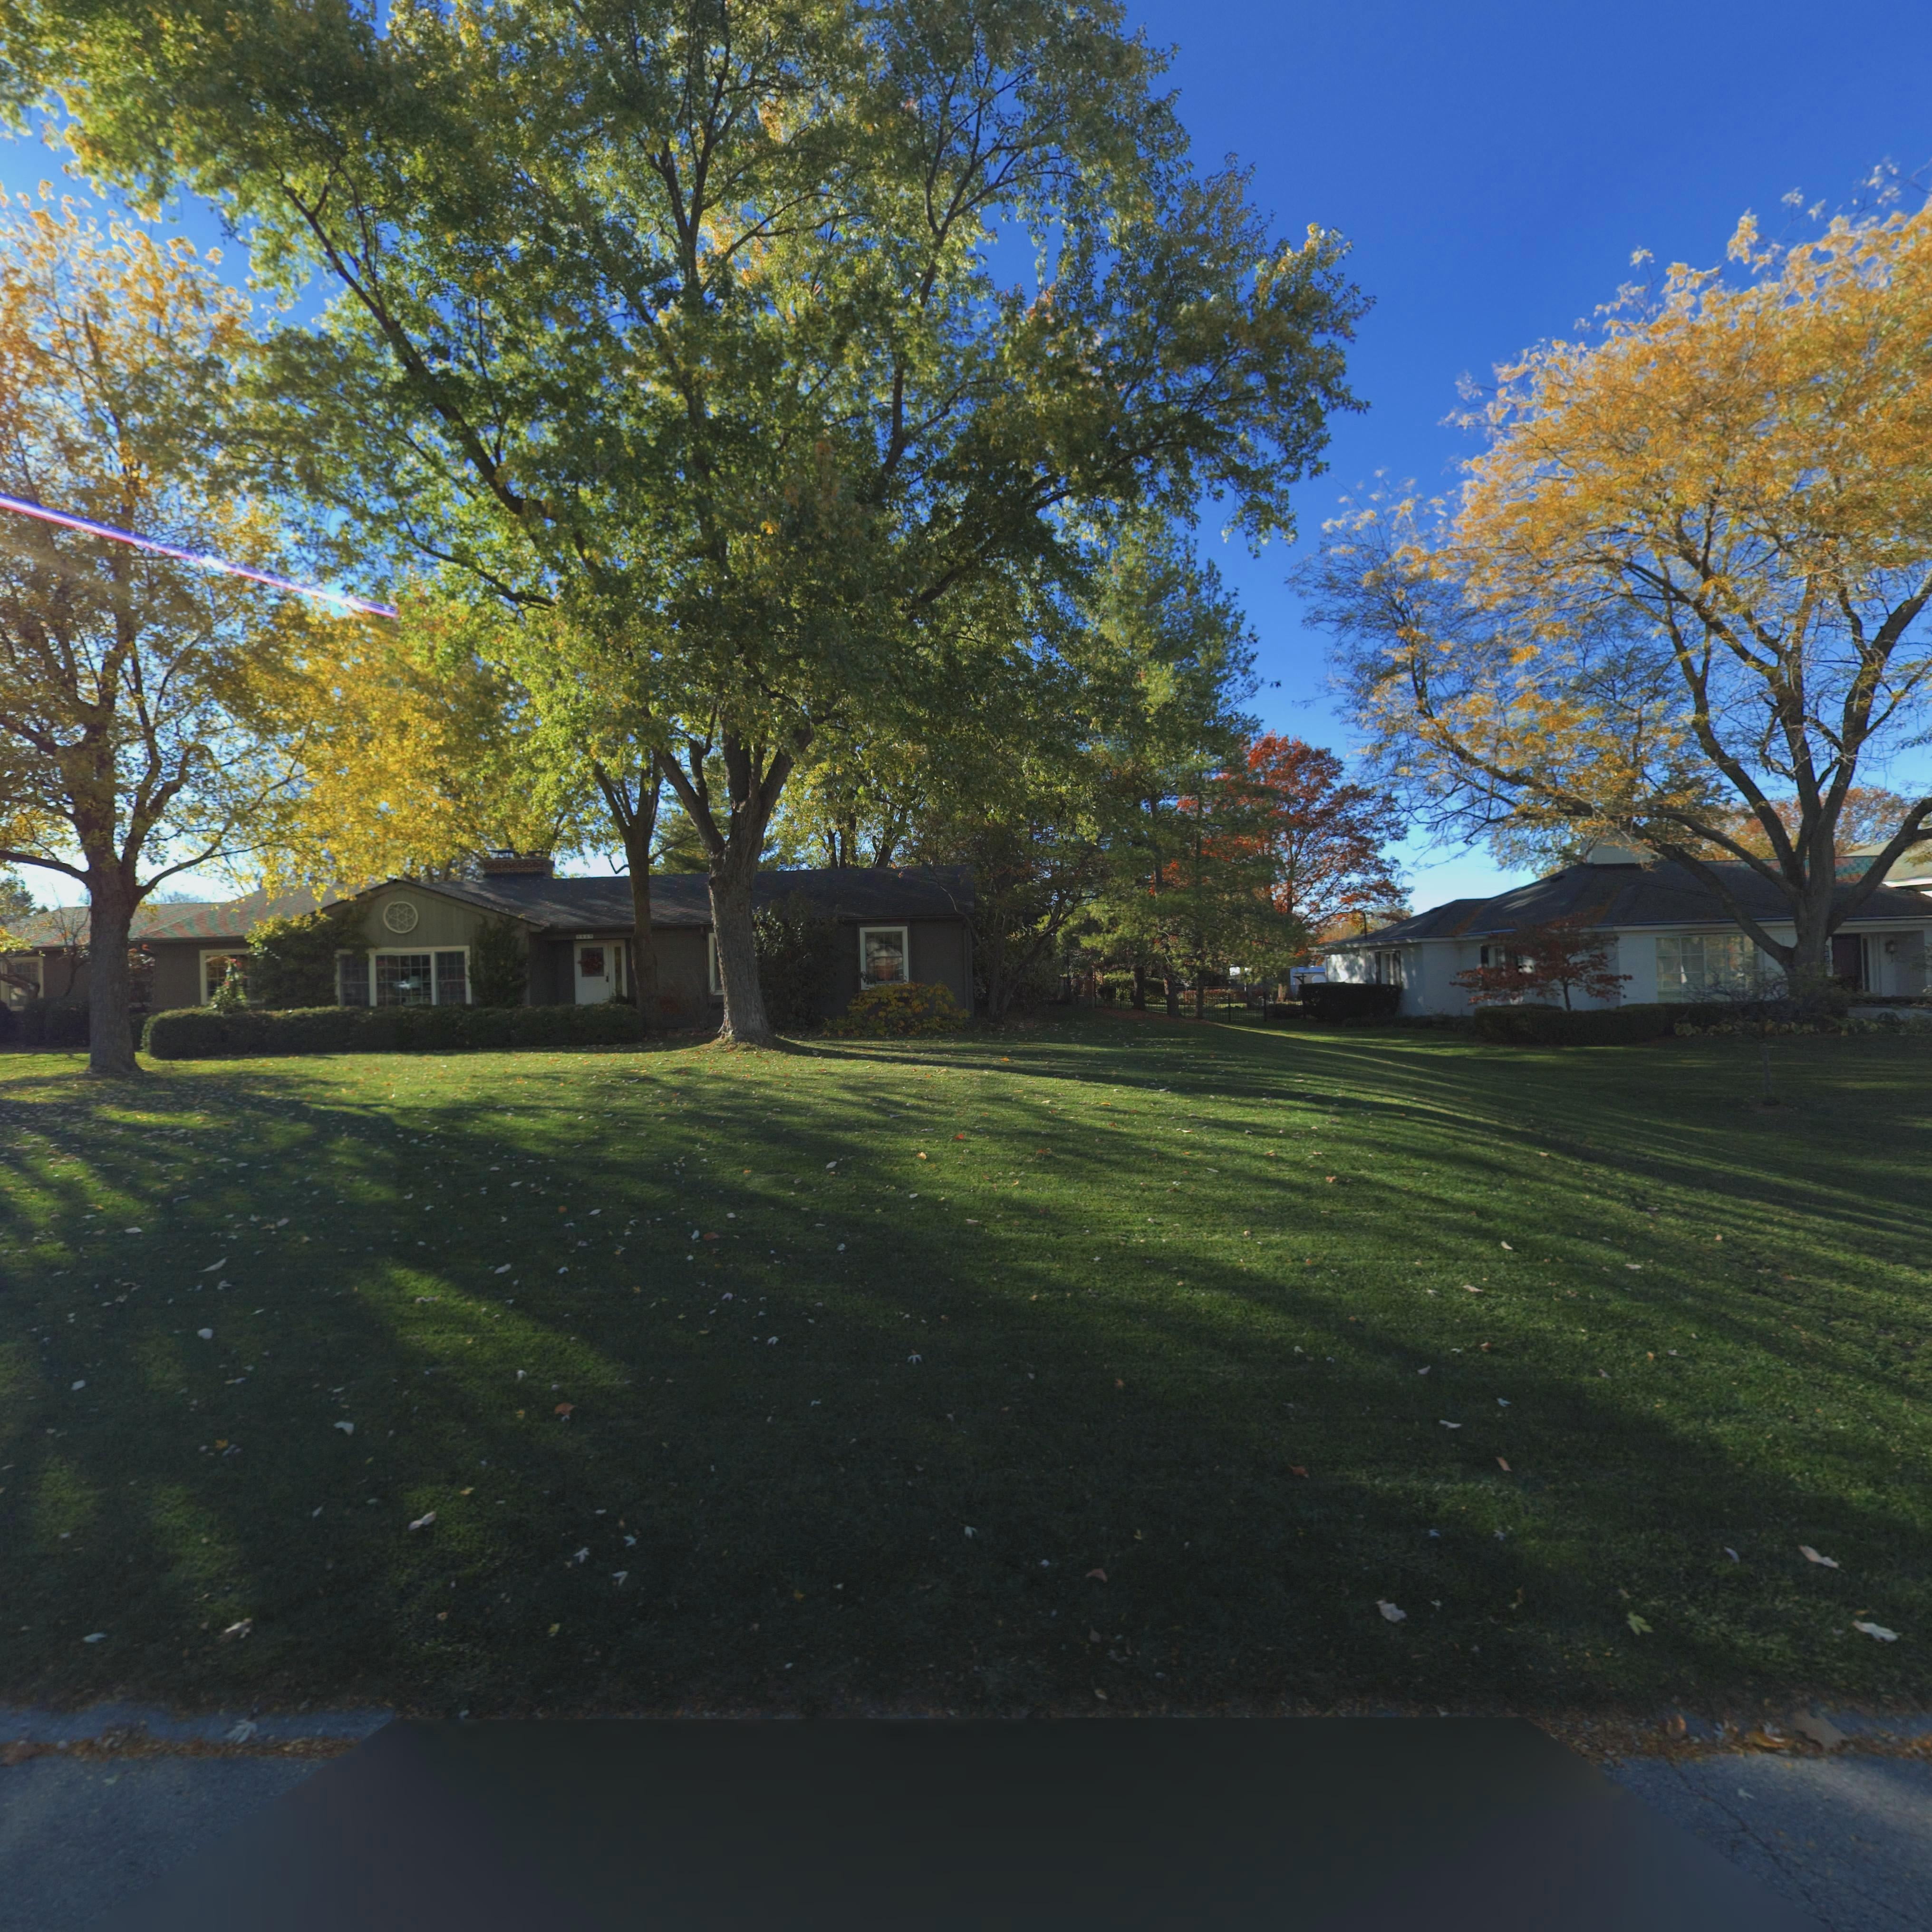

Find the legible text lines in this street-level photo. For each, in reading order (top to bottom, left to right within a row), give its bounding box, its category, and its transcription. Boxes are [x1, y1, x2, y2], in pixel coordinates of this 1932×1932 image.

[576, 934, 593, 939] StreetNumber: 5845